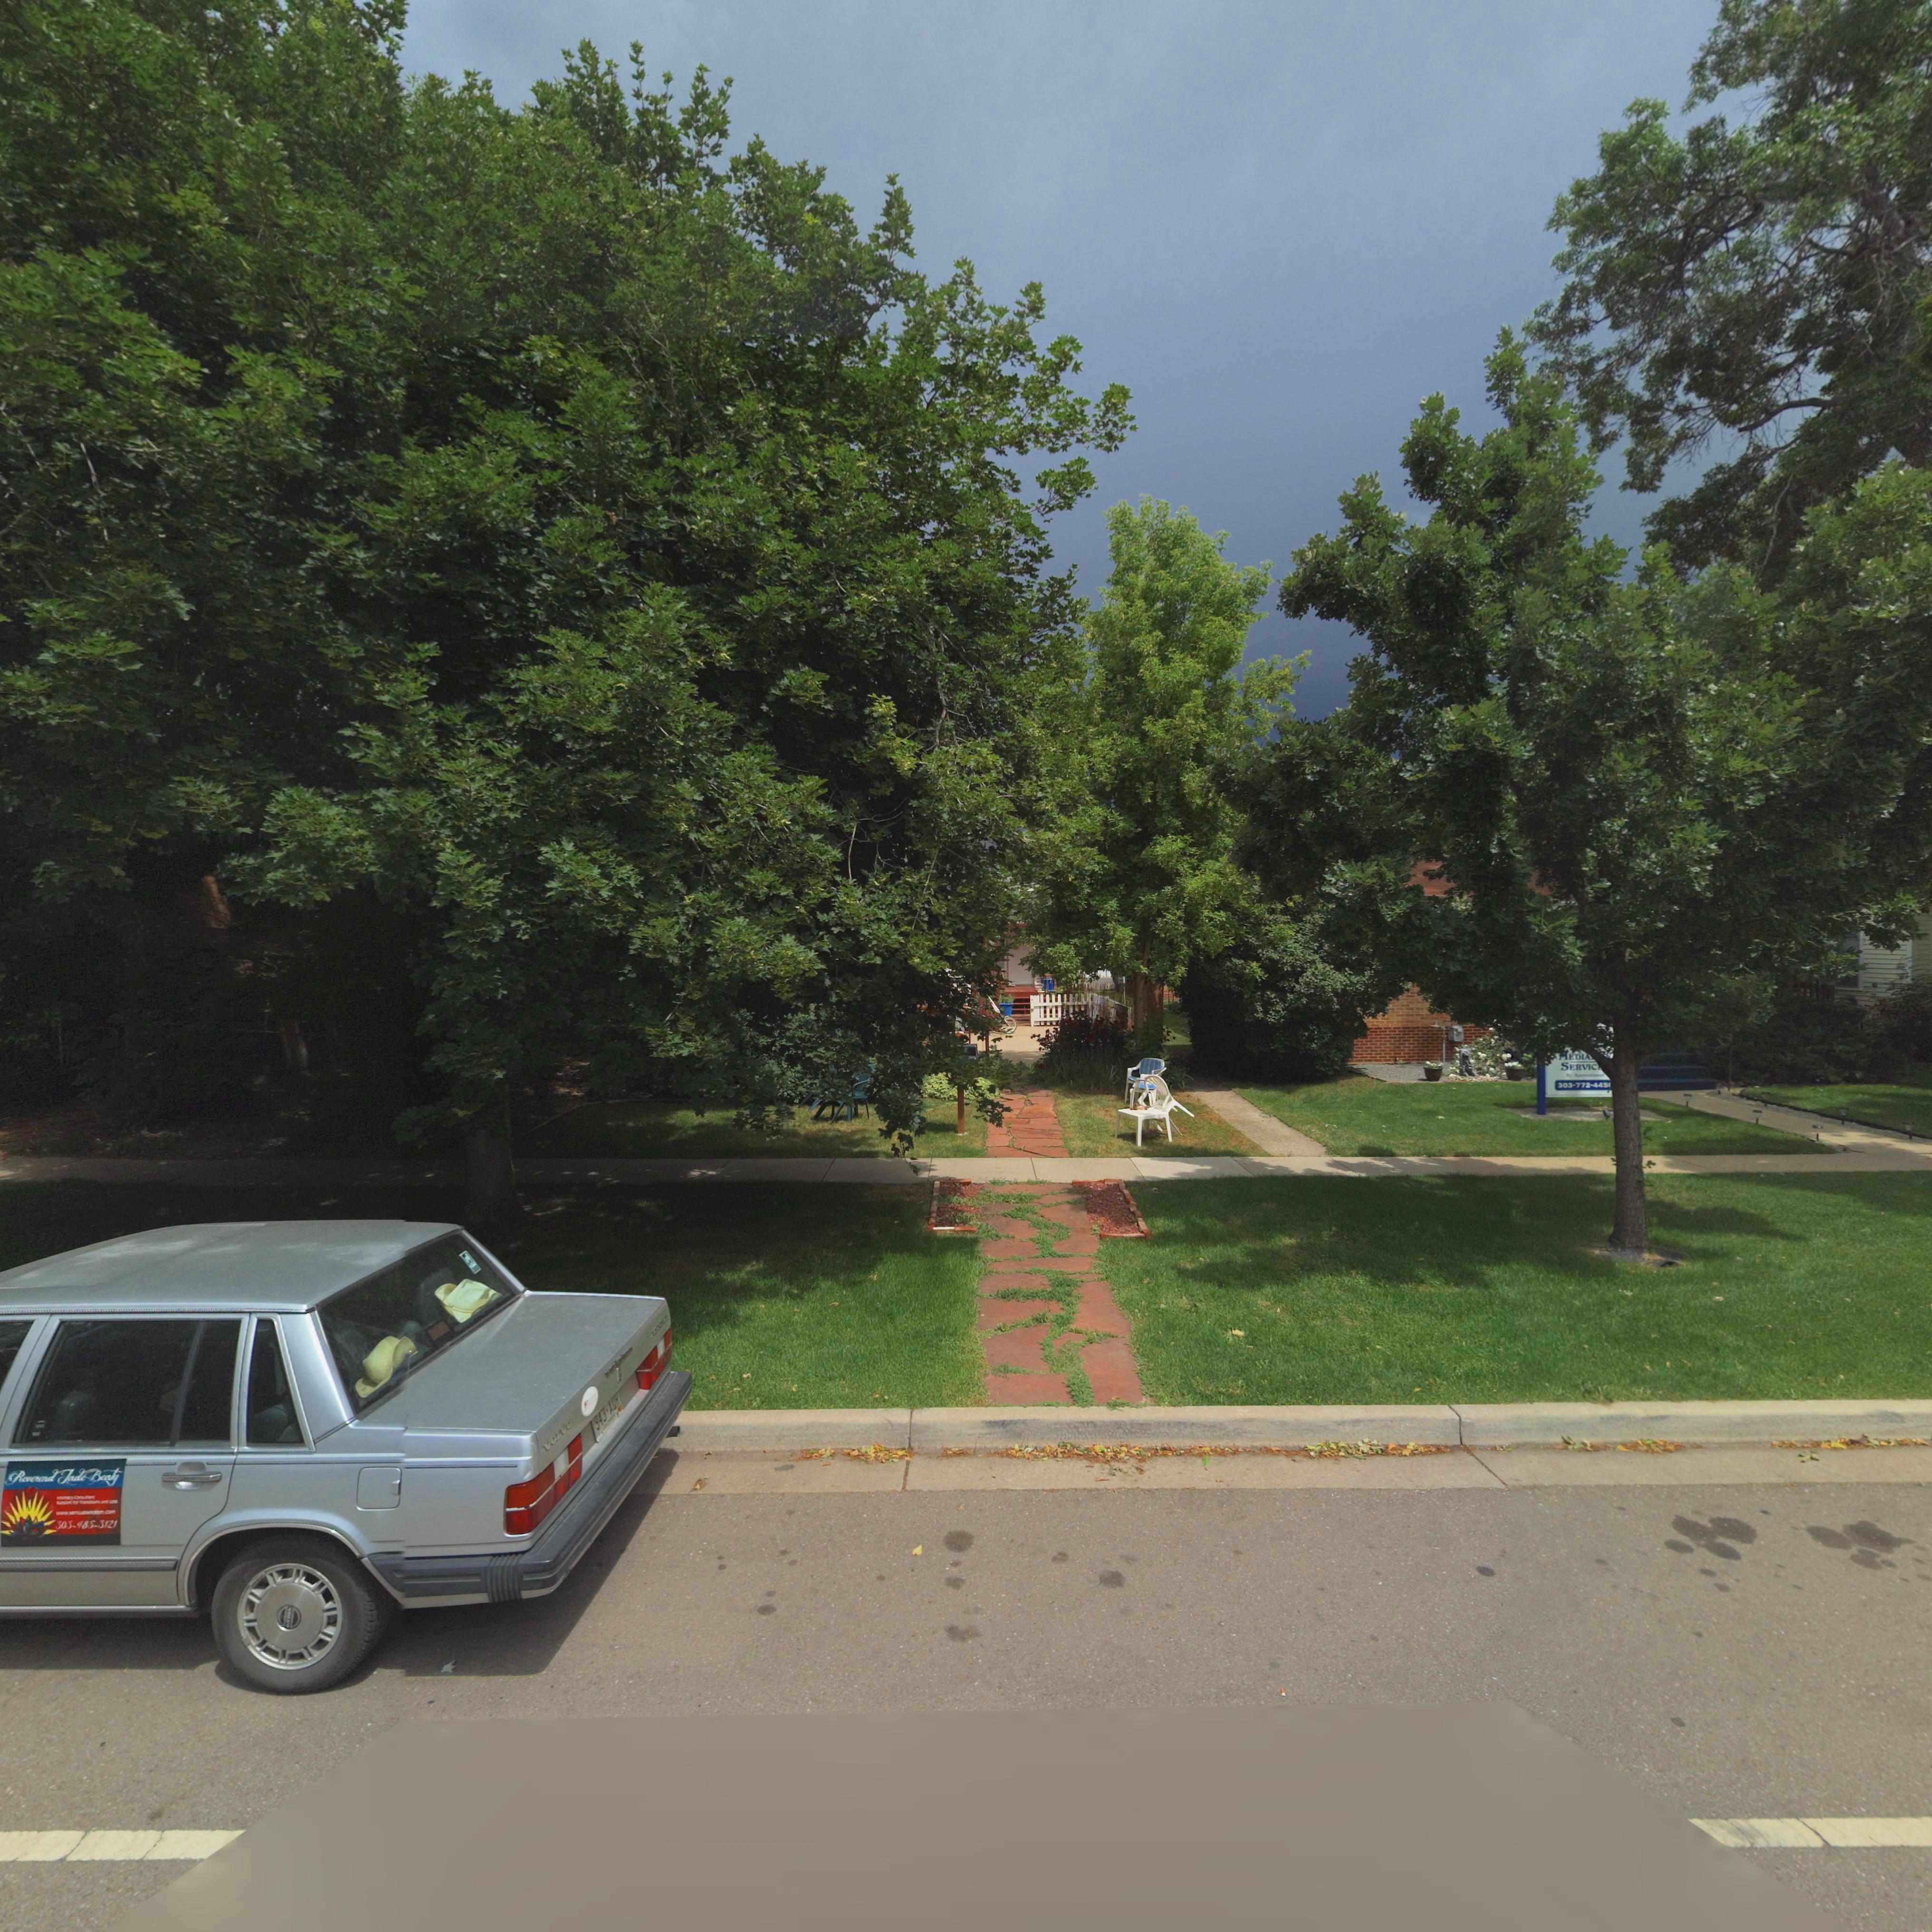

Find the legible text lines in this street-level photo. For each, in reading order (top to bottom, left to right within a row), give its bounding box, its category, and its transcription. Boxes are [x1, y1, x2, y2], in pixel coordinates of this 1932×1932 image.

[1558, 1051, 1596, 1060] BusinessName: MEDIA
[1560, 1062, 1602, 1071] BusinessName: SERVIC*